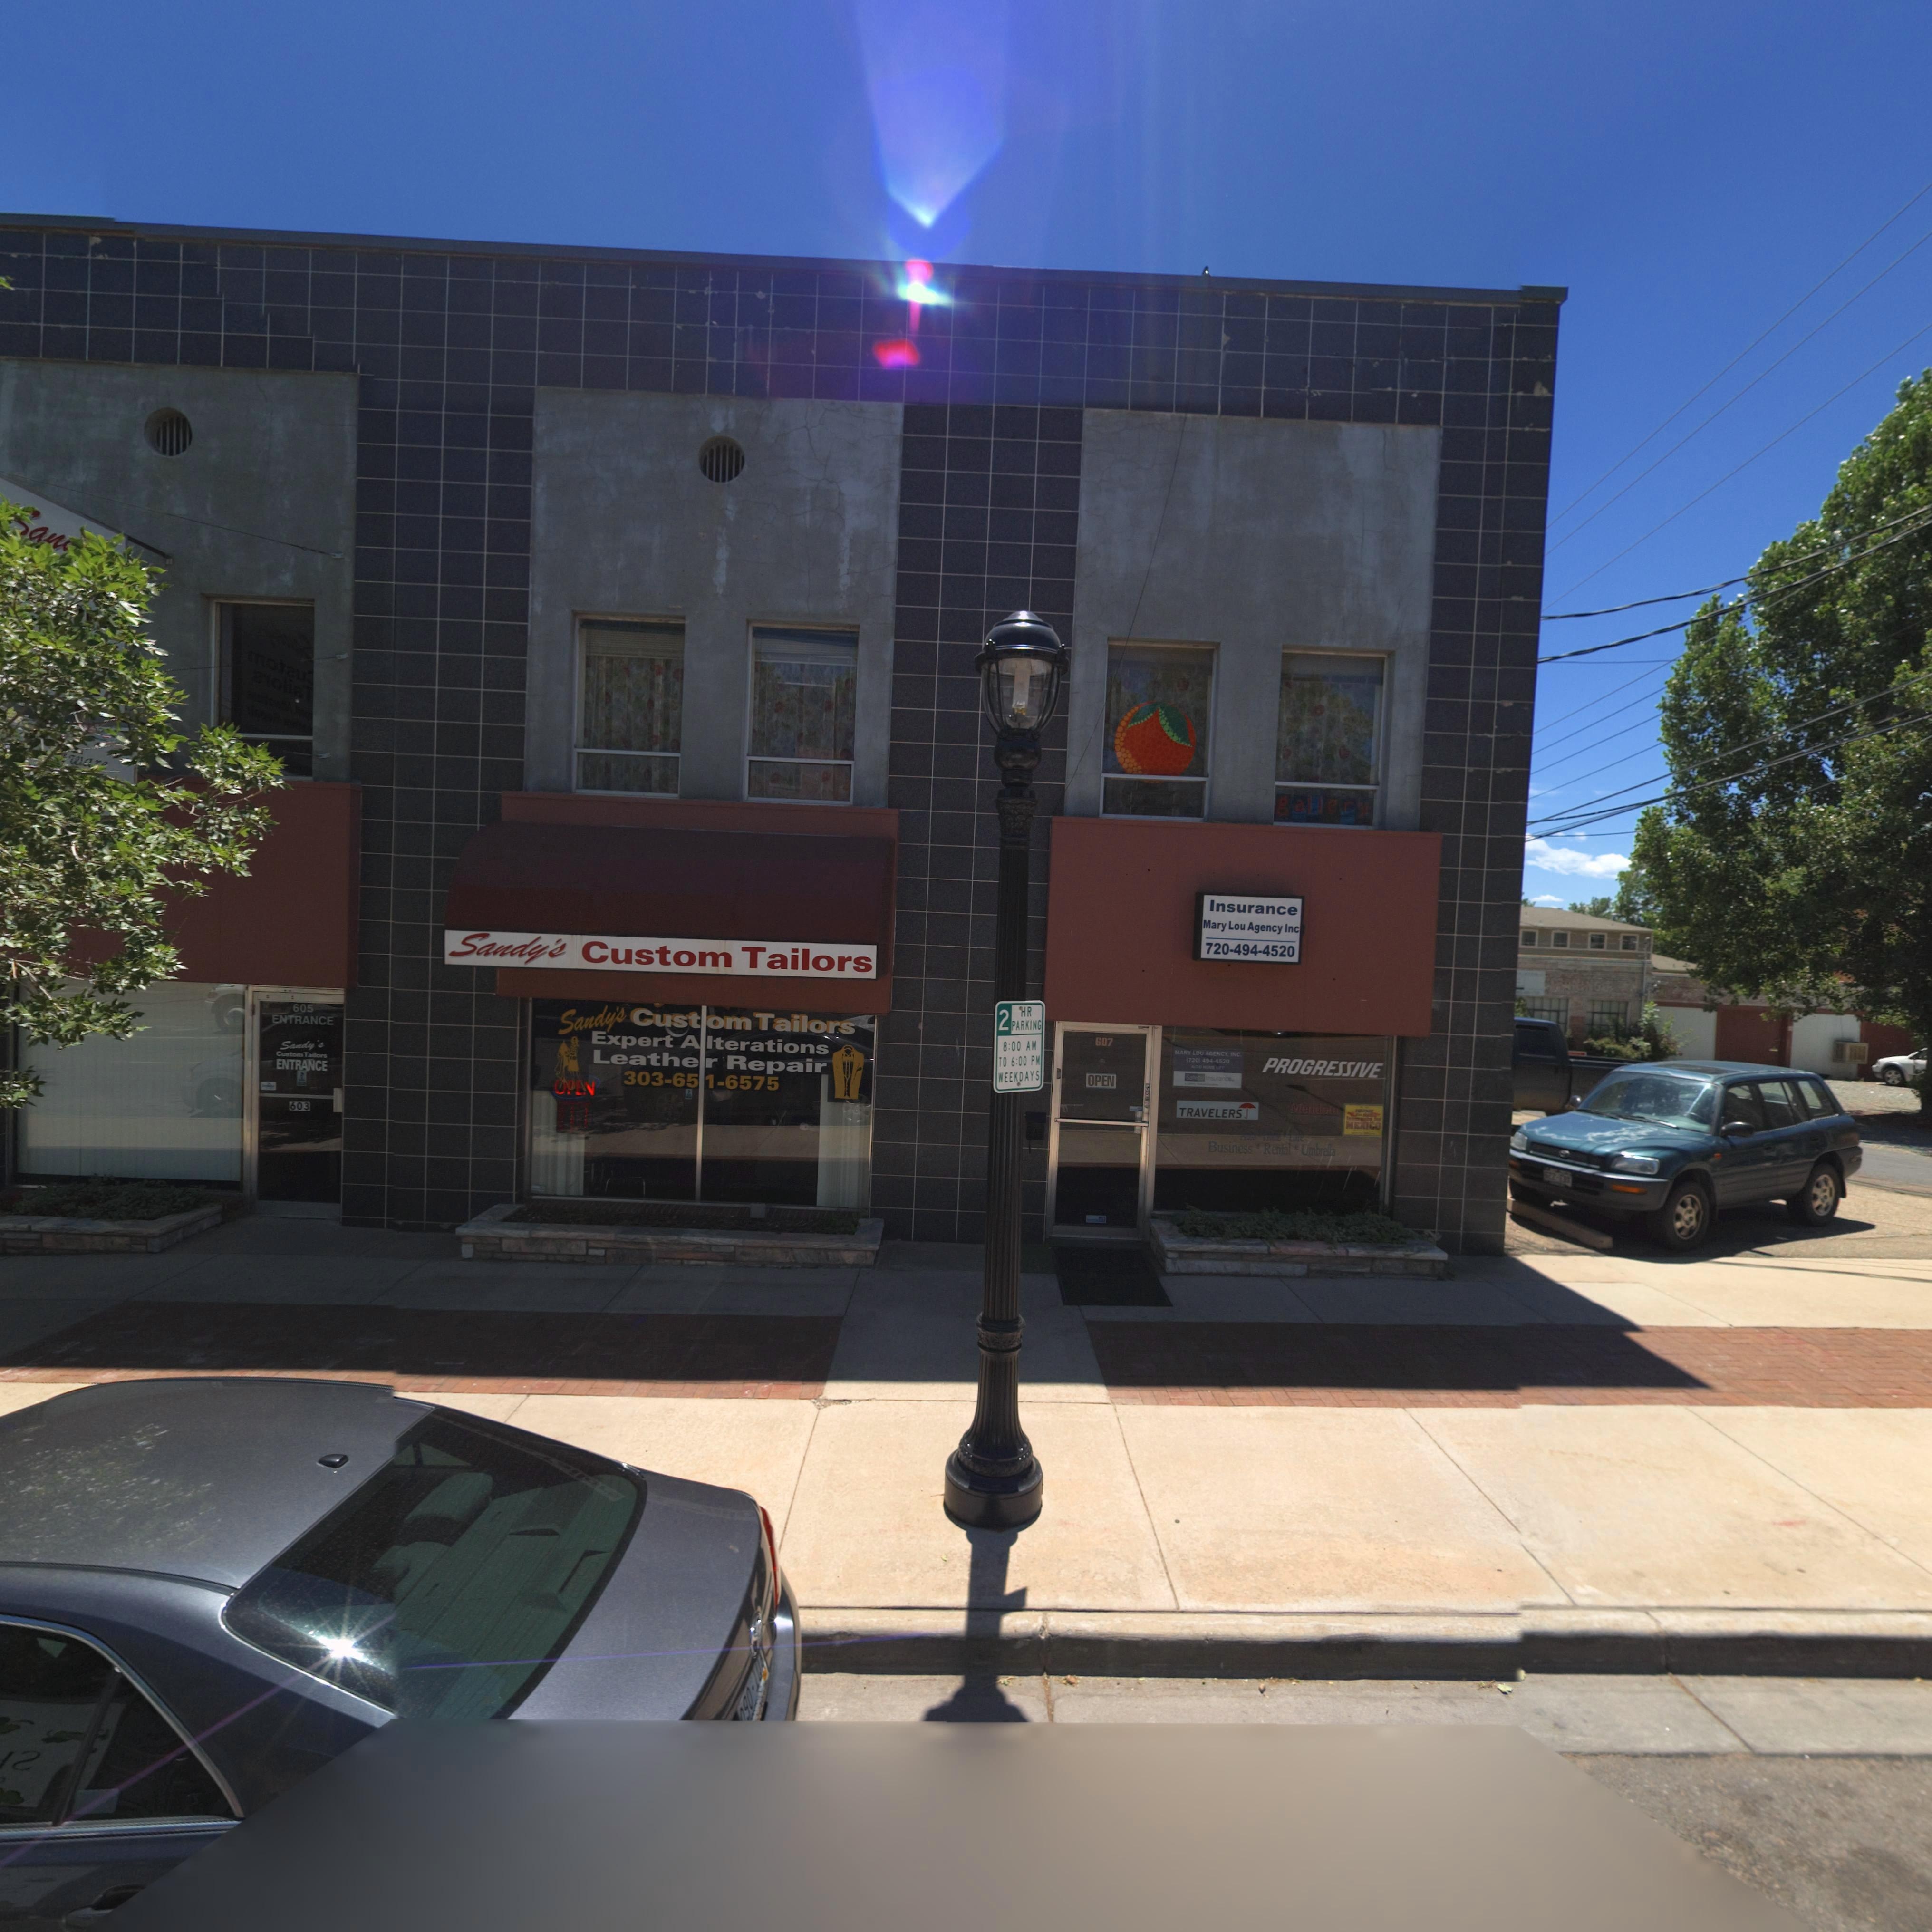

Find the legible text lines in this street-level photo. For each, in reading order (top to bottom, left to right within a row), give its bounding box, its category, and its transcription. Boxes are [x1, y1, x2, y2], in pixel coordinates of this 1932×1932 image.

[26, 525, 67, 550] BusinessName: an
[1202, 919, 1300, 934] BusinessName: Mary Lou Agency Inc
[448, 932, 570, 965] BusinessName: Sandy's
[580, 940, 873, 973] BusinessName: Custom Tailors
[292, 1003, 313, 1013] StreetNumber: 605
[557, 1005, 626, 1035] BusinessName: Sandy's
[630, 1008, 856, 1034] BusinessName: Custom Tailors
[279, 1040, 323, 1050] BusinessName: Sandy's
[1095, 1037, 1113, 1046] StreetNumber: 607
[276, 1051, 327, 1058] BusinessName: Custom Tailors
[1174, 1049, 1241, 1057] BusinessName: MARY LOU AGENCY INC.
[1261, 1057, 1383, 1078] BusinessName: PROGRESSIVE
[290, 1101, 309, 1110] StreetNumber: 603